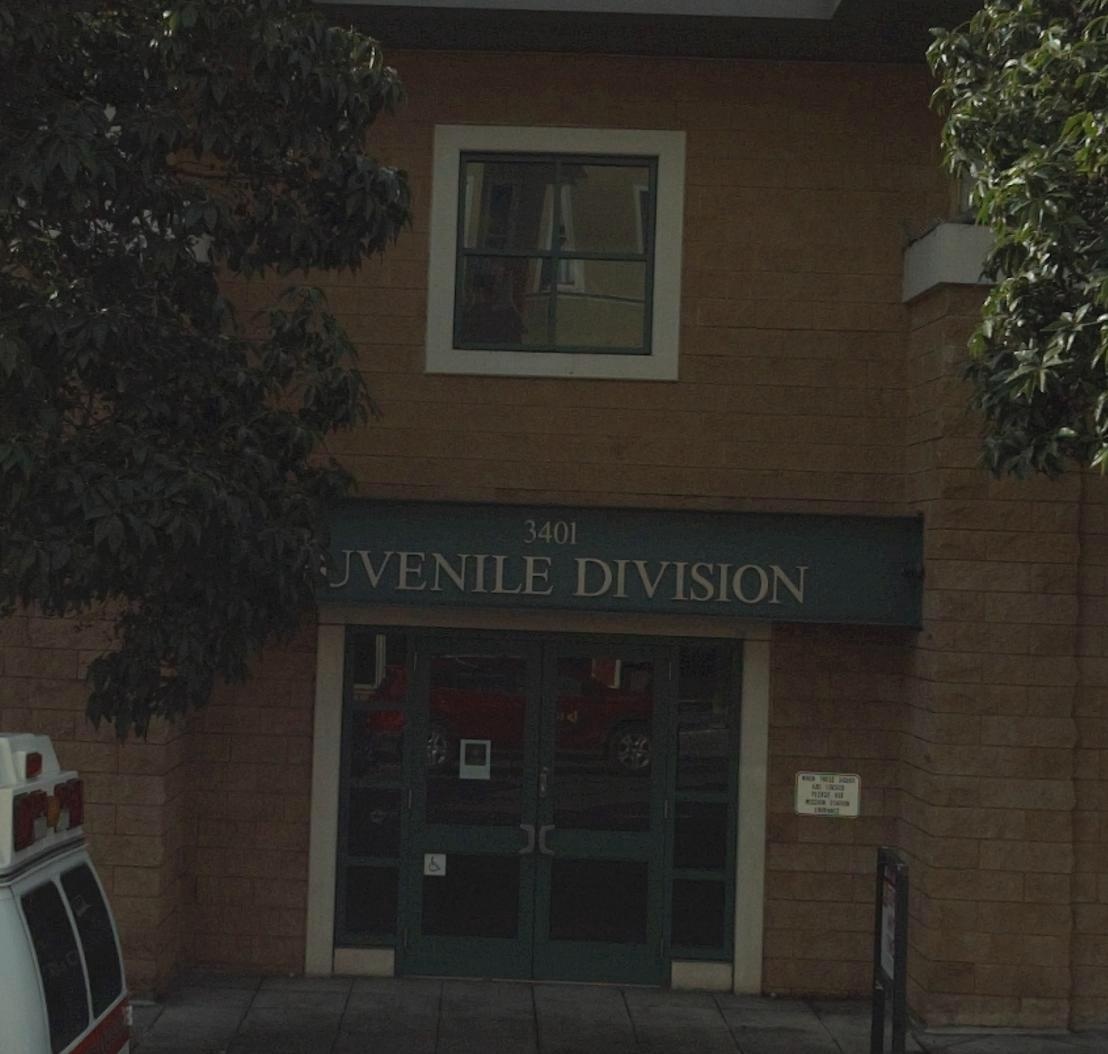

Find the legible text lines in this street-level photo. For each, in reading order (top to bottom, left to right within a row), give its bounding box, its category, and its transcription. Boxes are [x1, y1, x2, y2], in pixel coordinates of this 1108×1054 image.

[523, 518, 579, 546] StreetNumber: 3401
[317, 547, 809, 606] BusinessName: UVENILE DIVISION